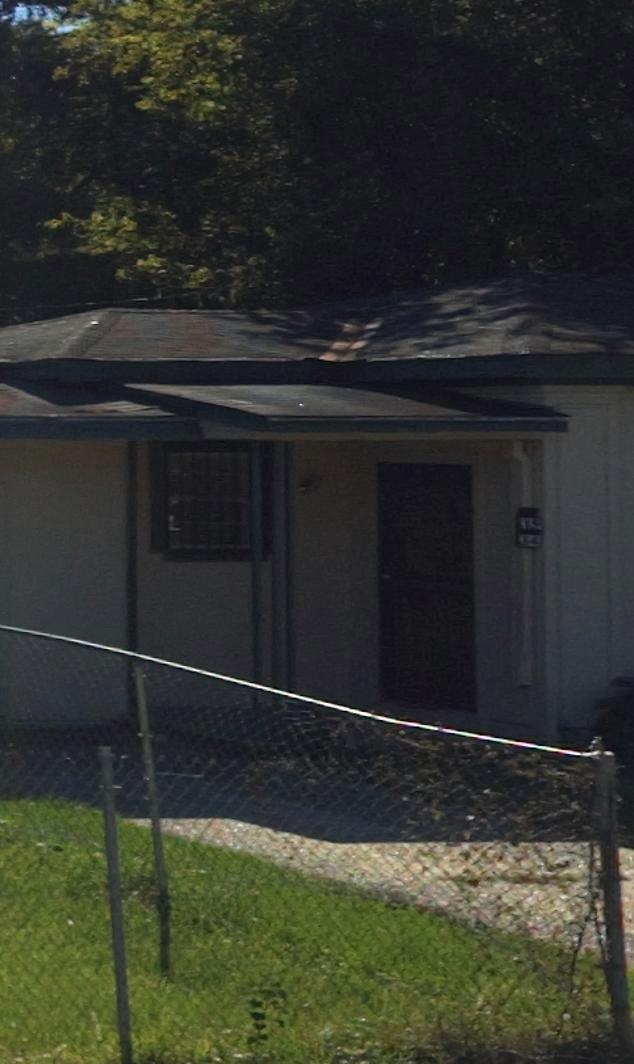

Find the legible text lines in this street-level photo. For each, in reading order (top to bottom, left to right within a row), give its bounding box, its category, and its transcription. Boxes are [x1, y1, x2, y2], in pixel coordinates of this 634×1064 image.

[521, 518, 542, 531] StreetNumber: 39
[519, 533, 542, 546] StreetNumber: 34